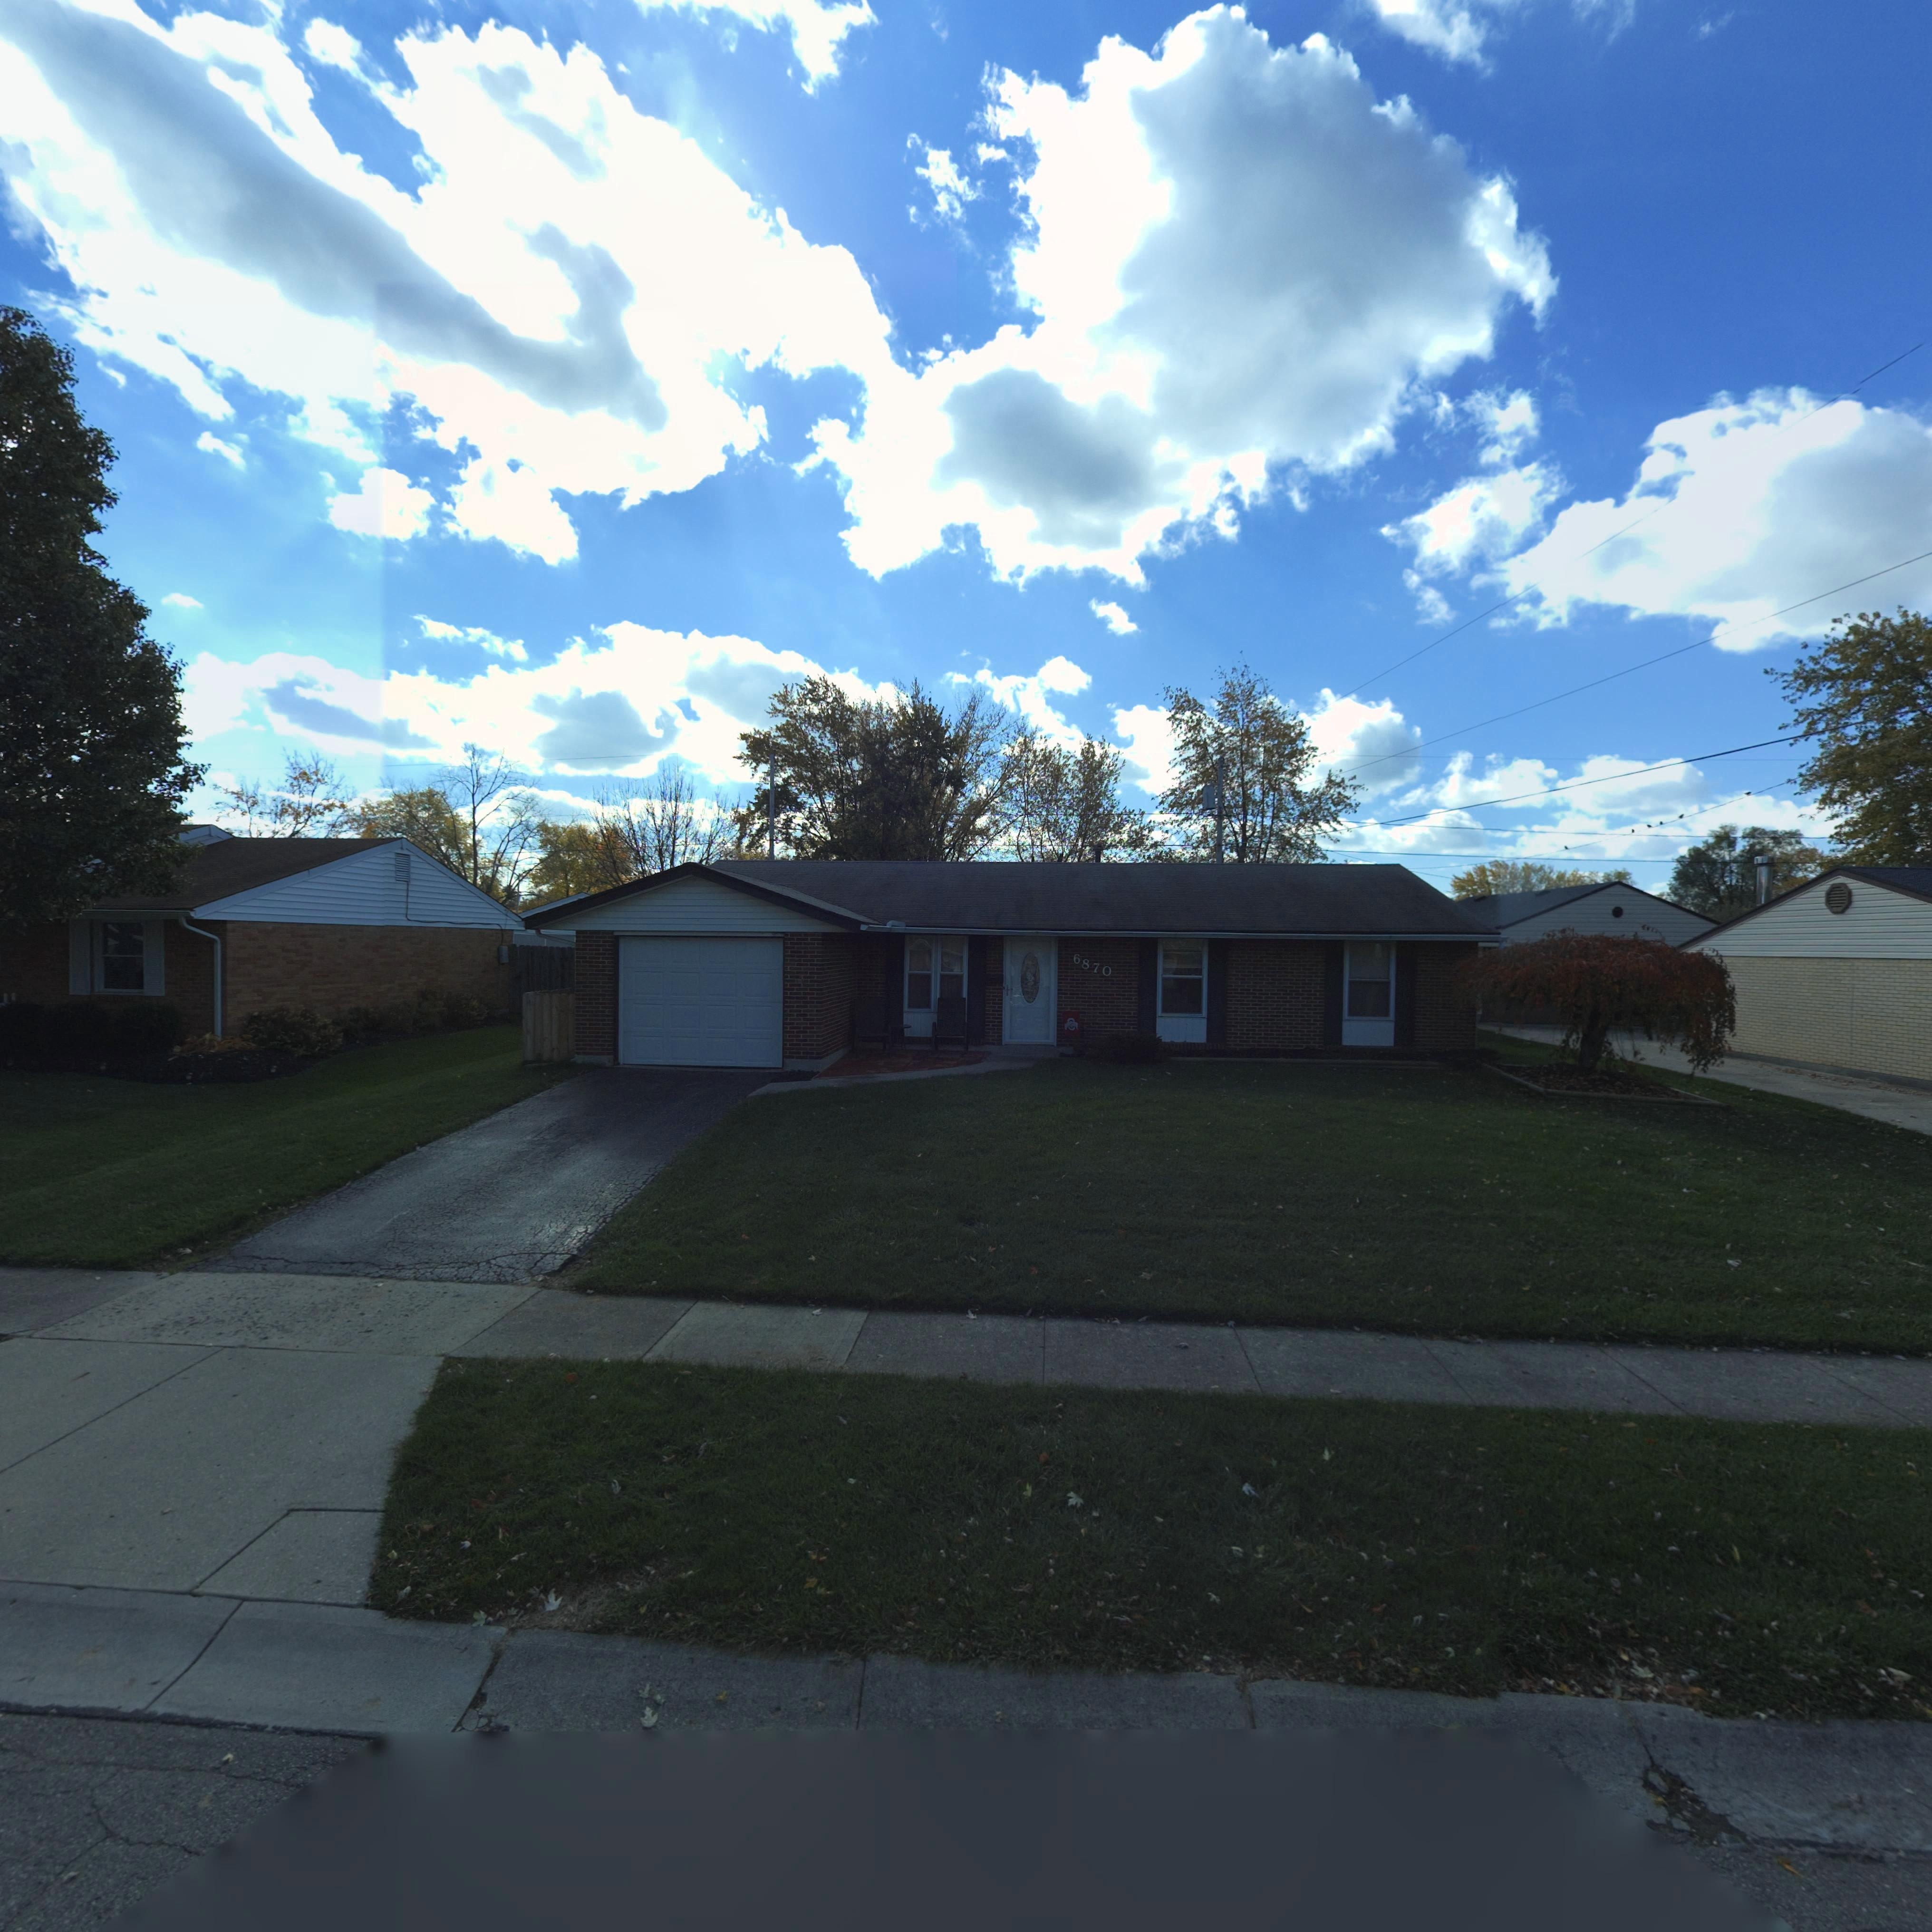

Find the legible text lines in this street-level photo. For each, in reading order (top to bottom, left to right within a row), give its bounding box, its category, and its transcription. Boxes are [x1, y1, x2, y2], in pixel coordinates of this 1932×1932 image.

[1072, 953, 1112, 977] StreetNumber: 6870